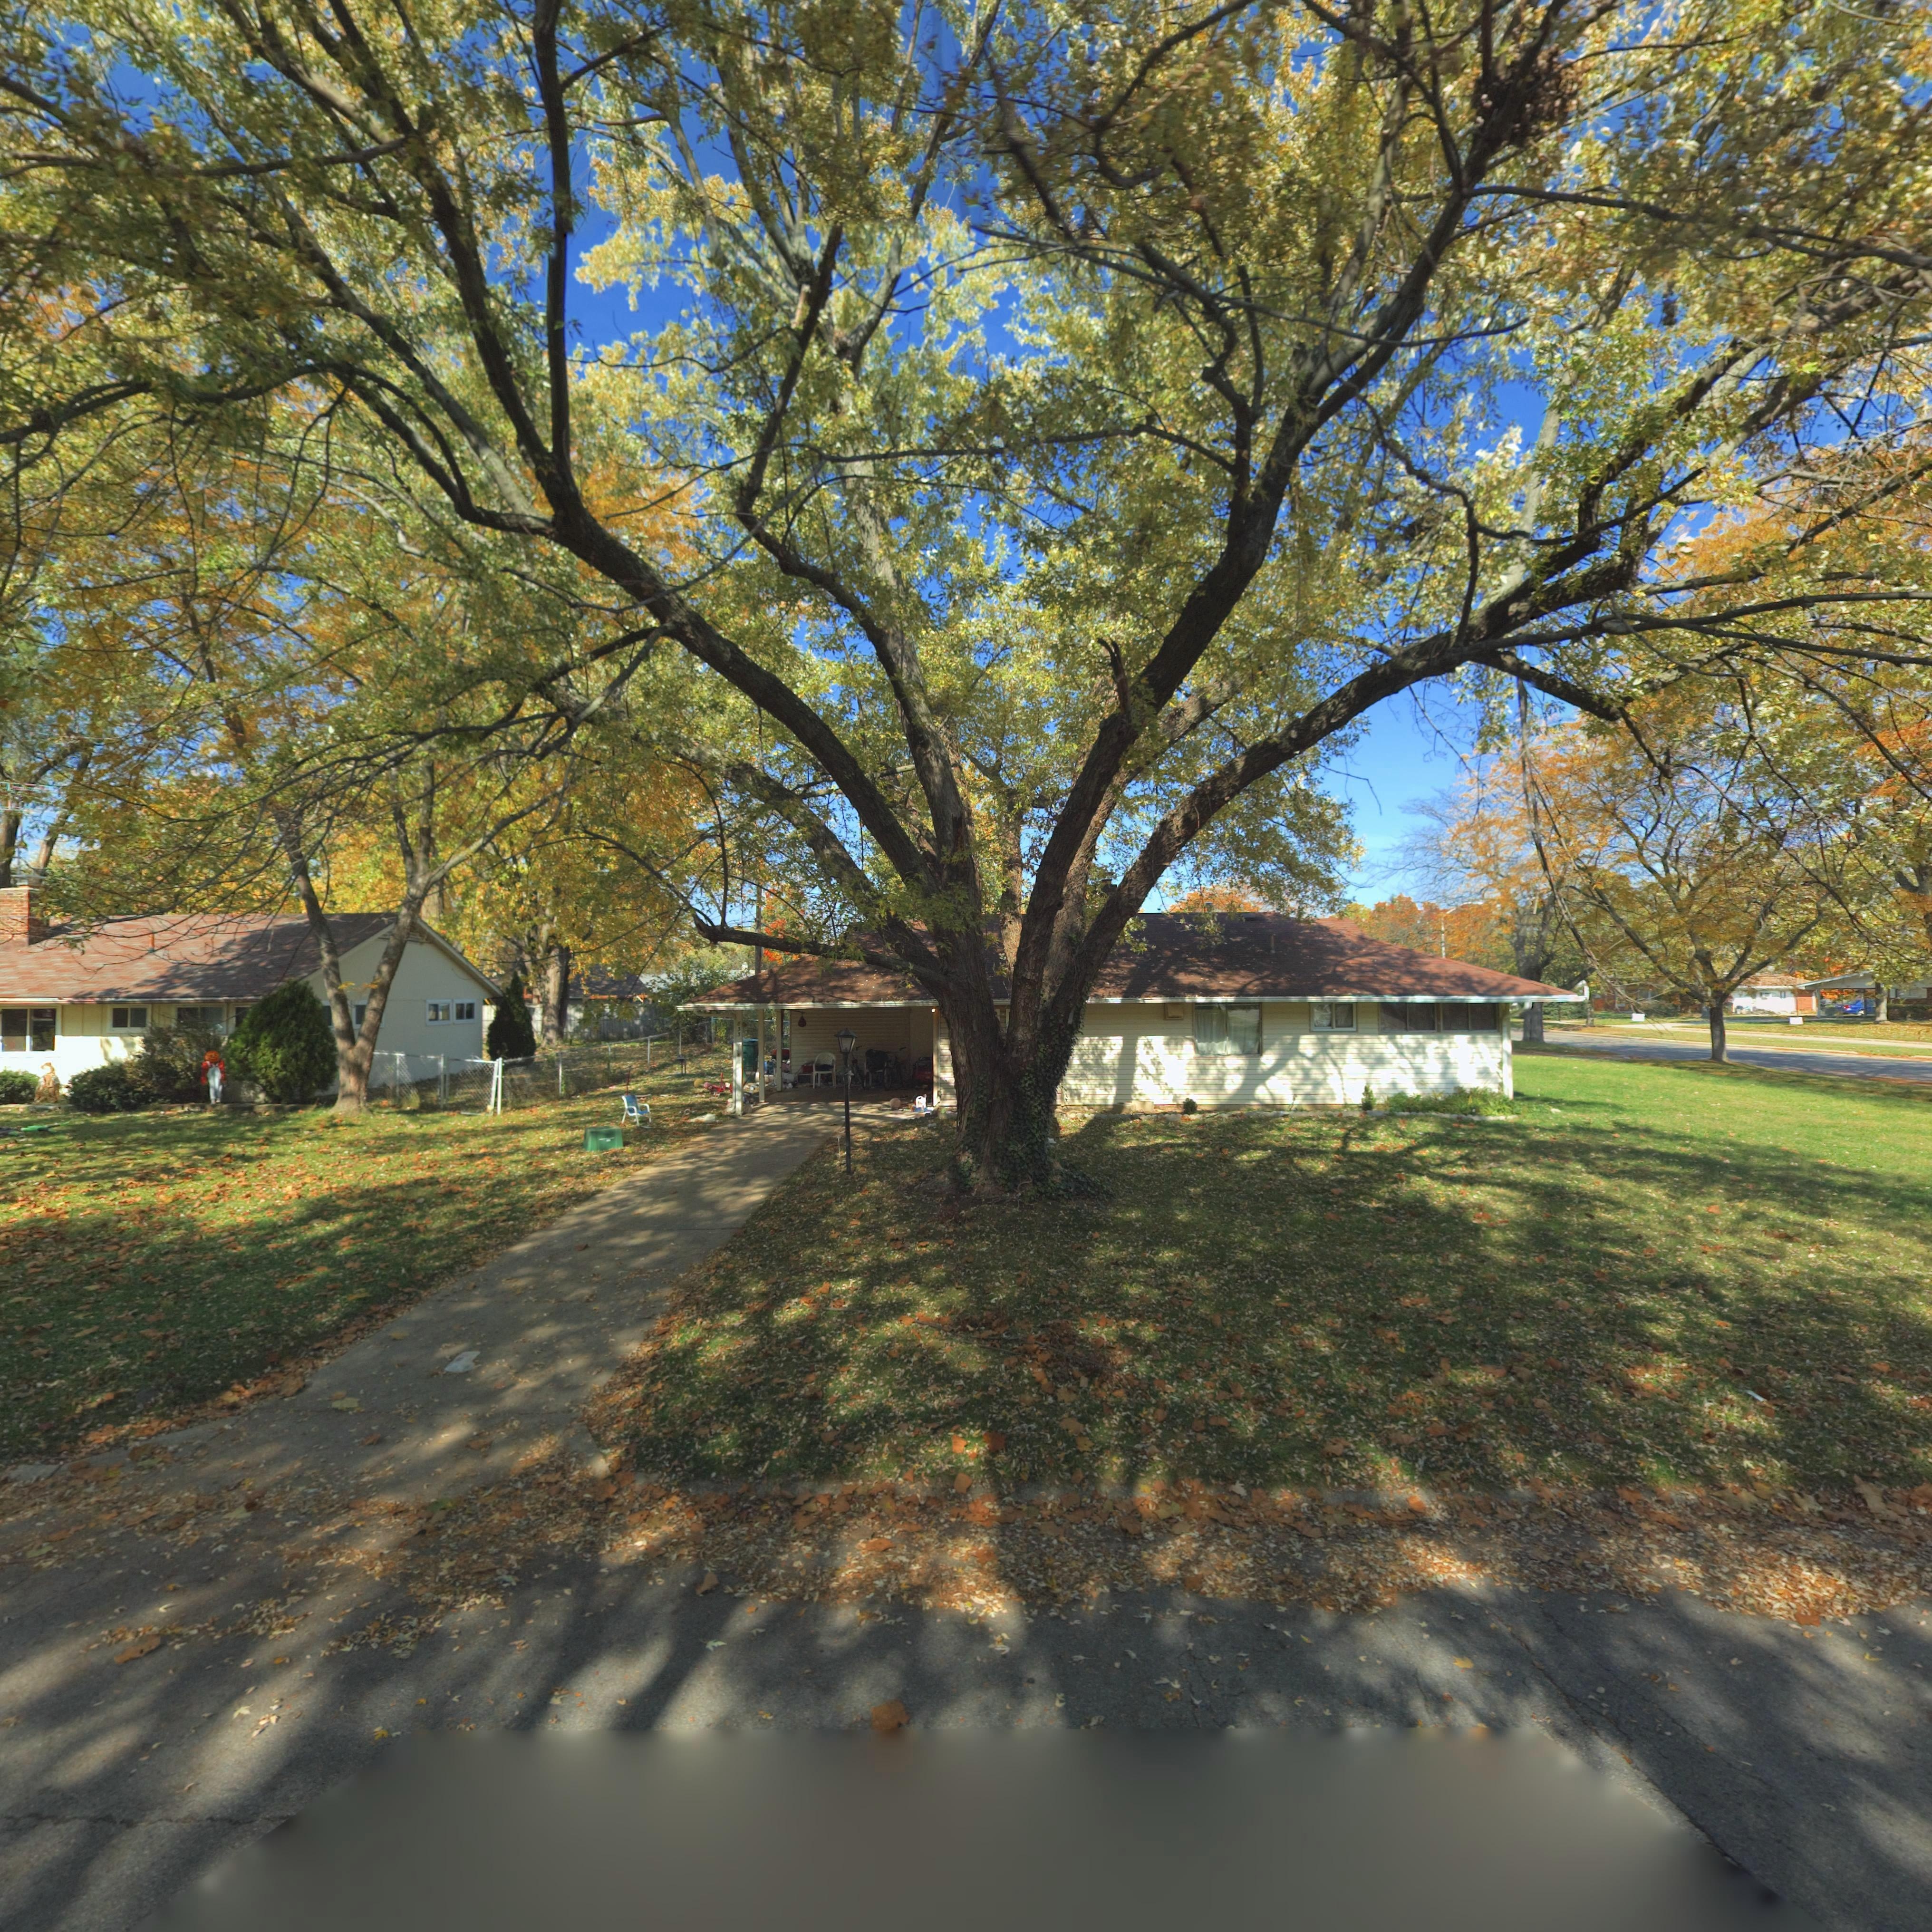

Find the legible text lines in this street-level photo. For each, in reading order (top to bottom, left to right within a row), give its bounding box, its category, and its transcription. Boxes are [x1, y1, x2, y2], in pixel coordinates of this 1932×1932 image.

[737, 1020, 741, 1037] StreetNumber: 8**